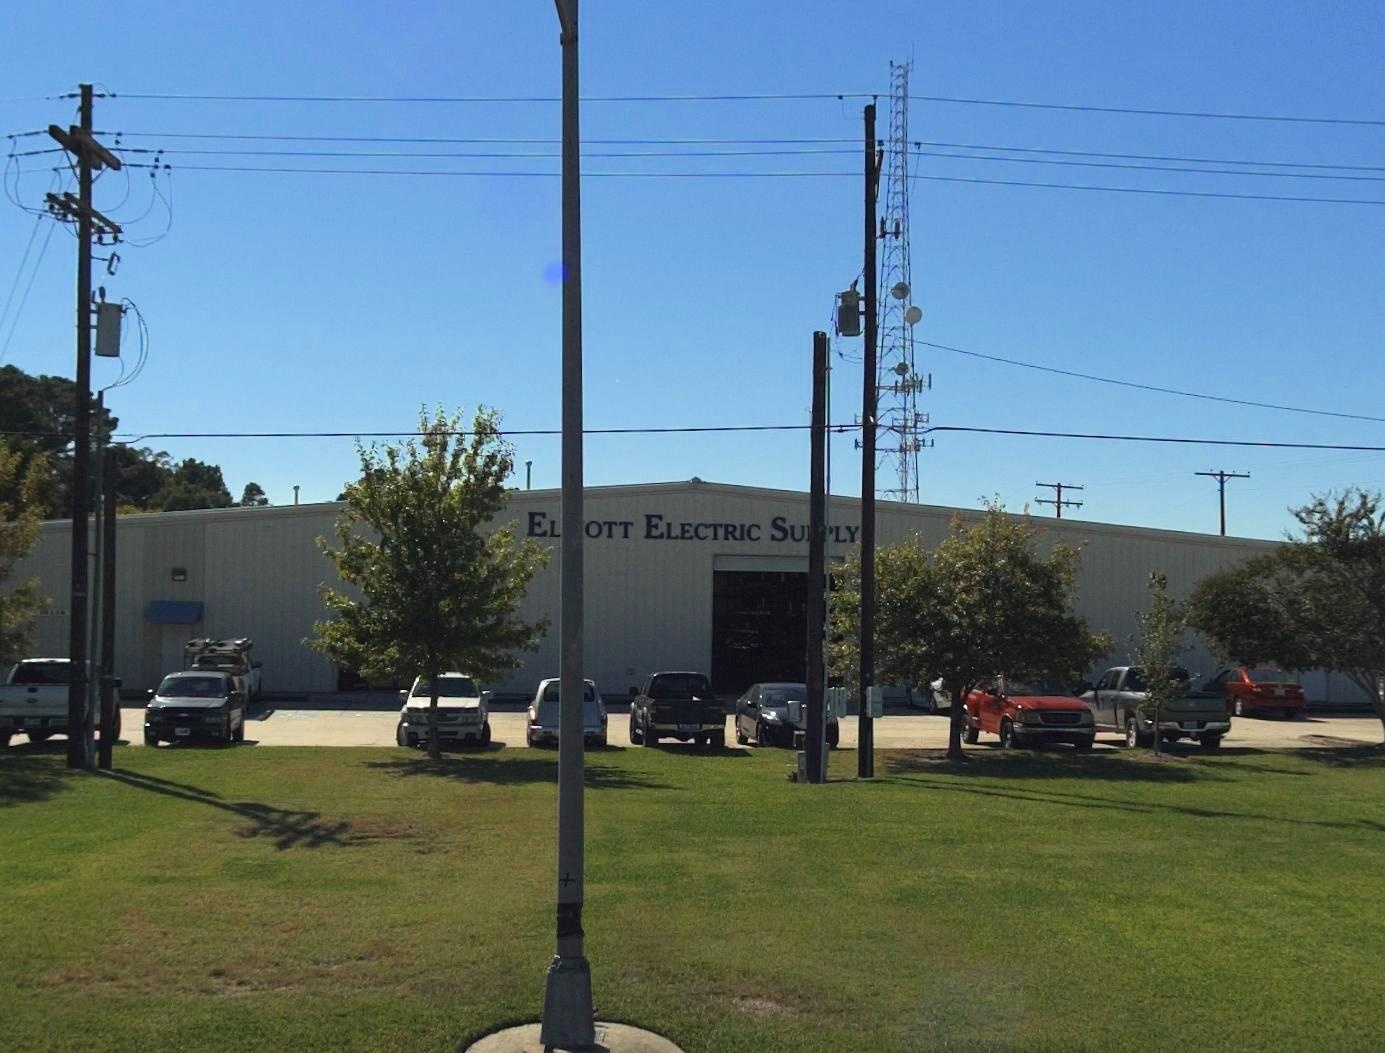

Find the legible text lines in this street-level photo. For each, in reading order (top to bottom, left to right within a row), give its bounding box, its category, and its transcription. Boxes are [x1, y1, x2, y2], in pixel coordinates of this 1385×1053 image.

[523, 509, 863, 546] BusinessName: EL*OTT ELECTRIC SU**LY